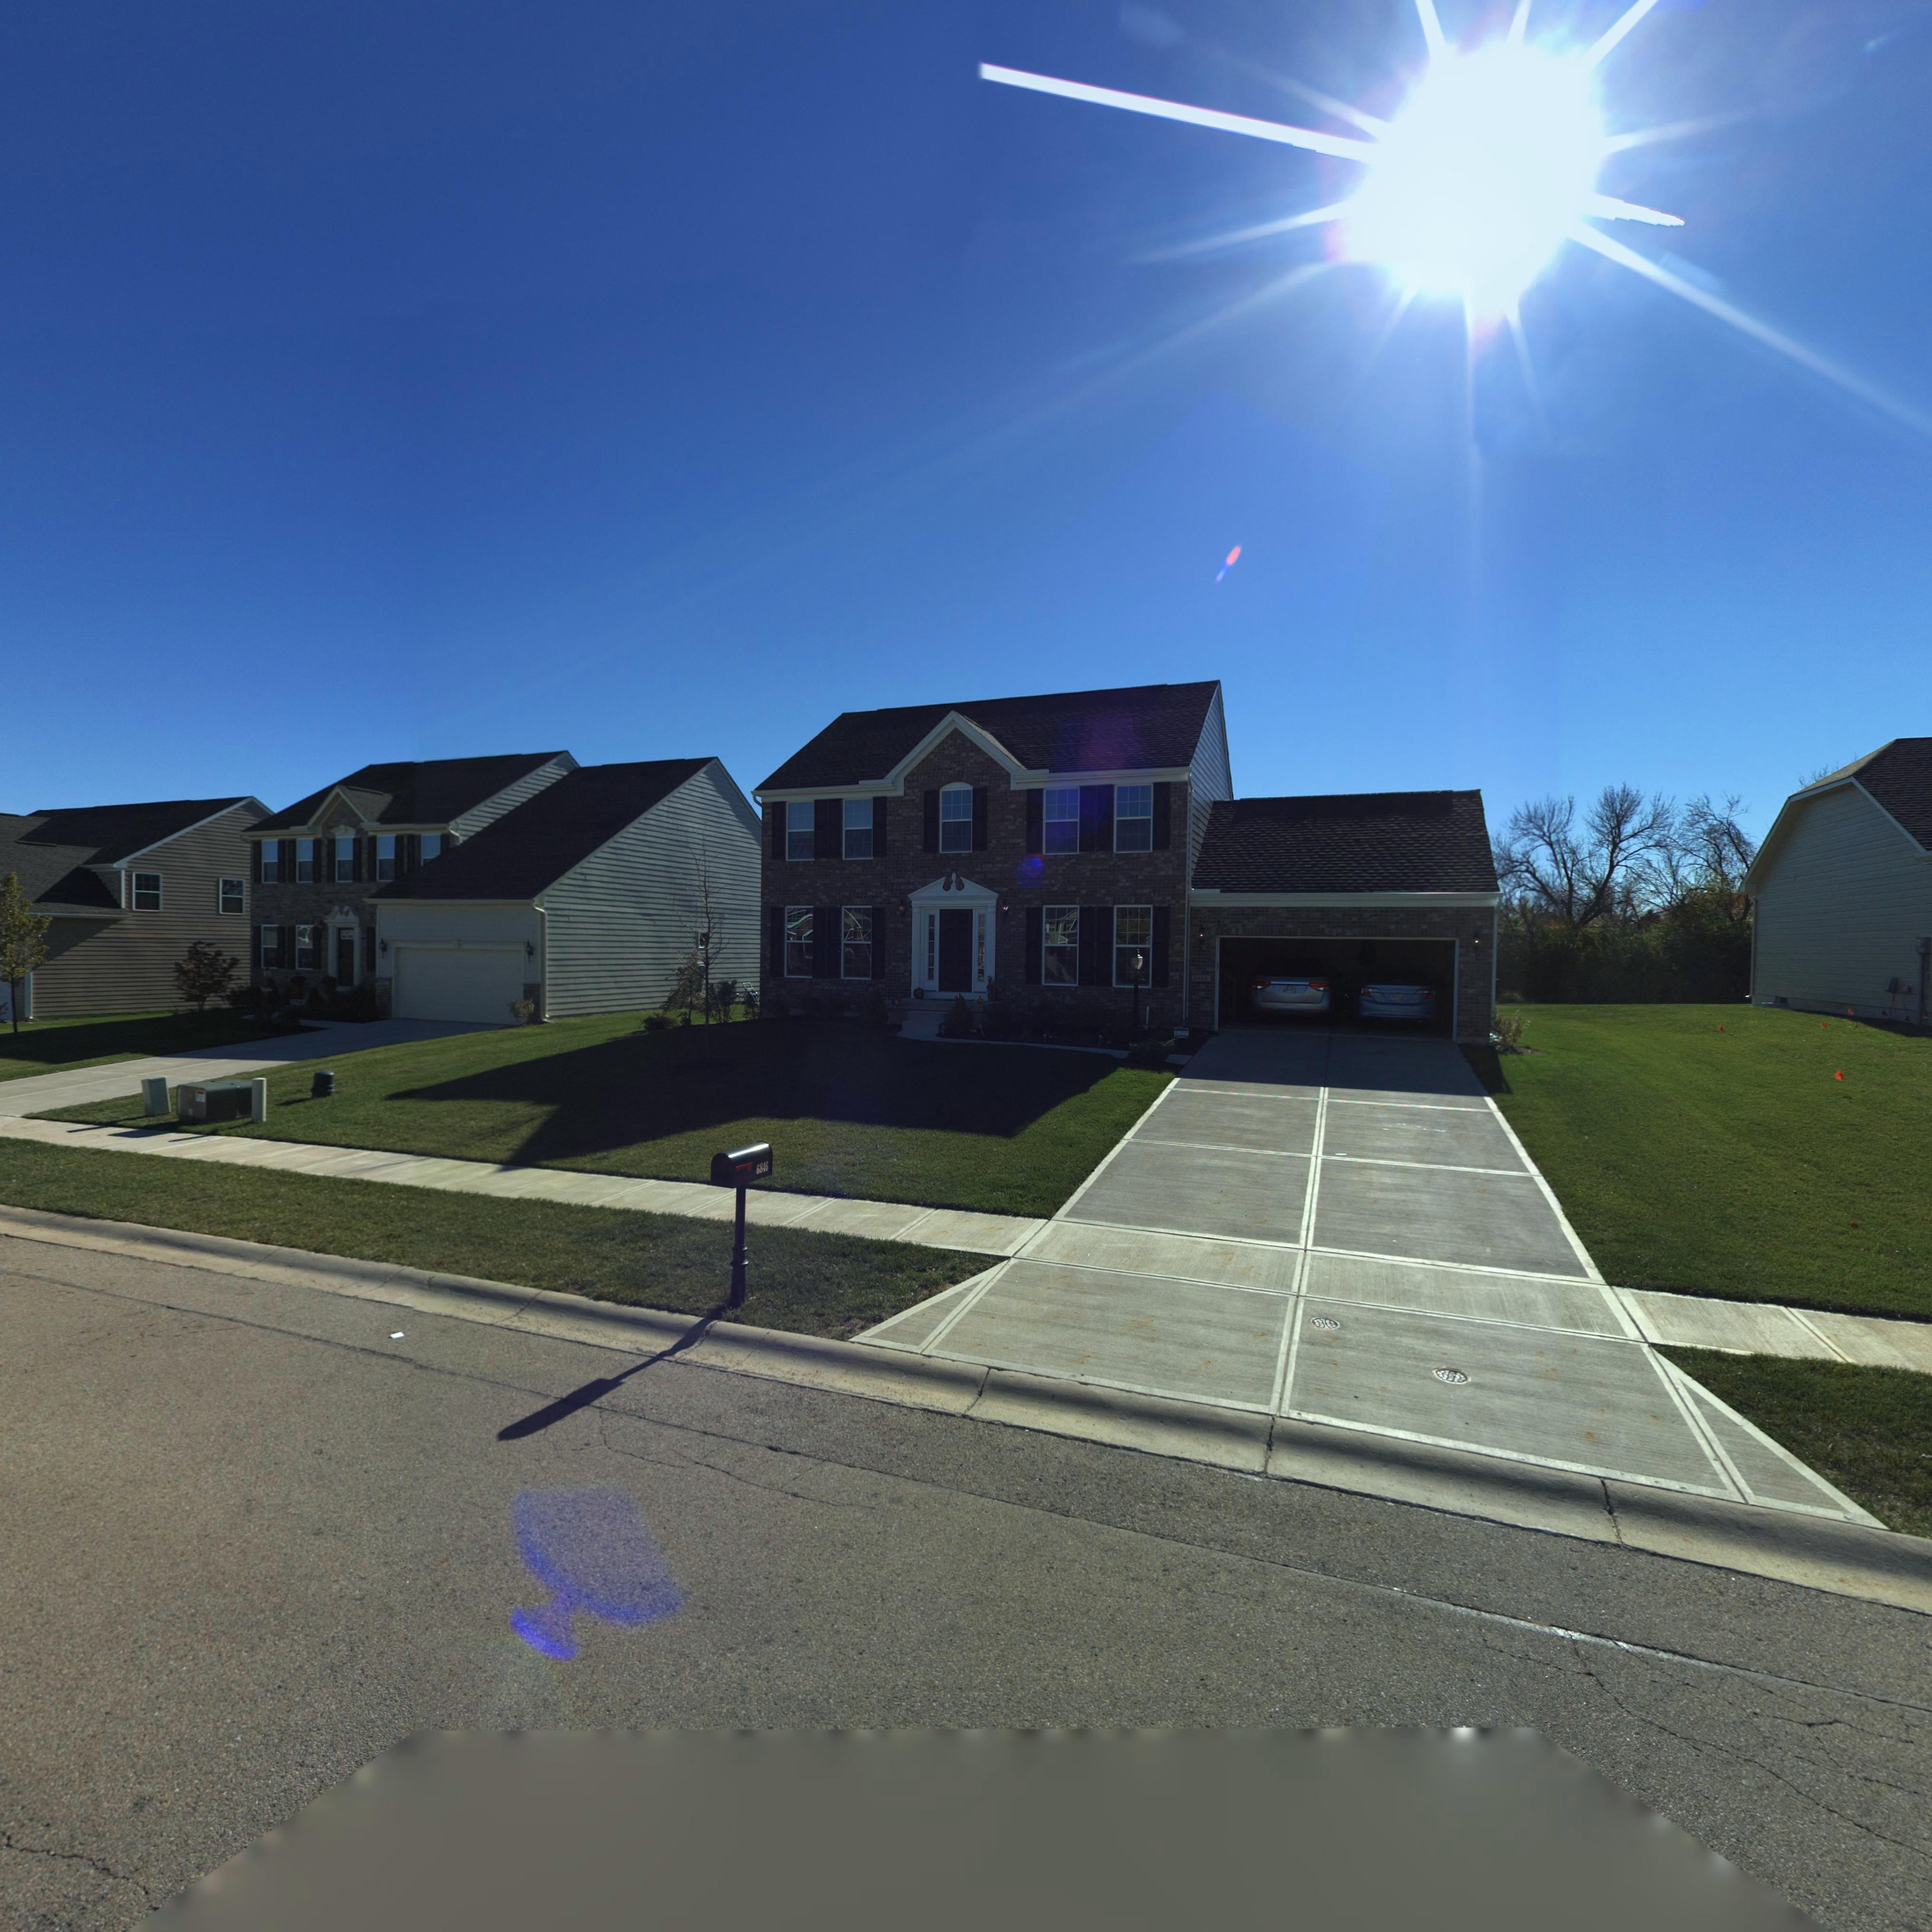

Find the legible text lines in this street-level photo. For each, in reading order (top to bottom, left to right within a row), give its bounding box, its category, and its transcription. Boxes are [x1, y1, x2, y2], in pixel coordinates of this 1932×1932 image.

[1193, 975, 1209, 982] StreetNumber: *8**
[755, 1159, 770, 1176] StreetNumber: 6846